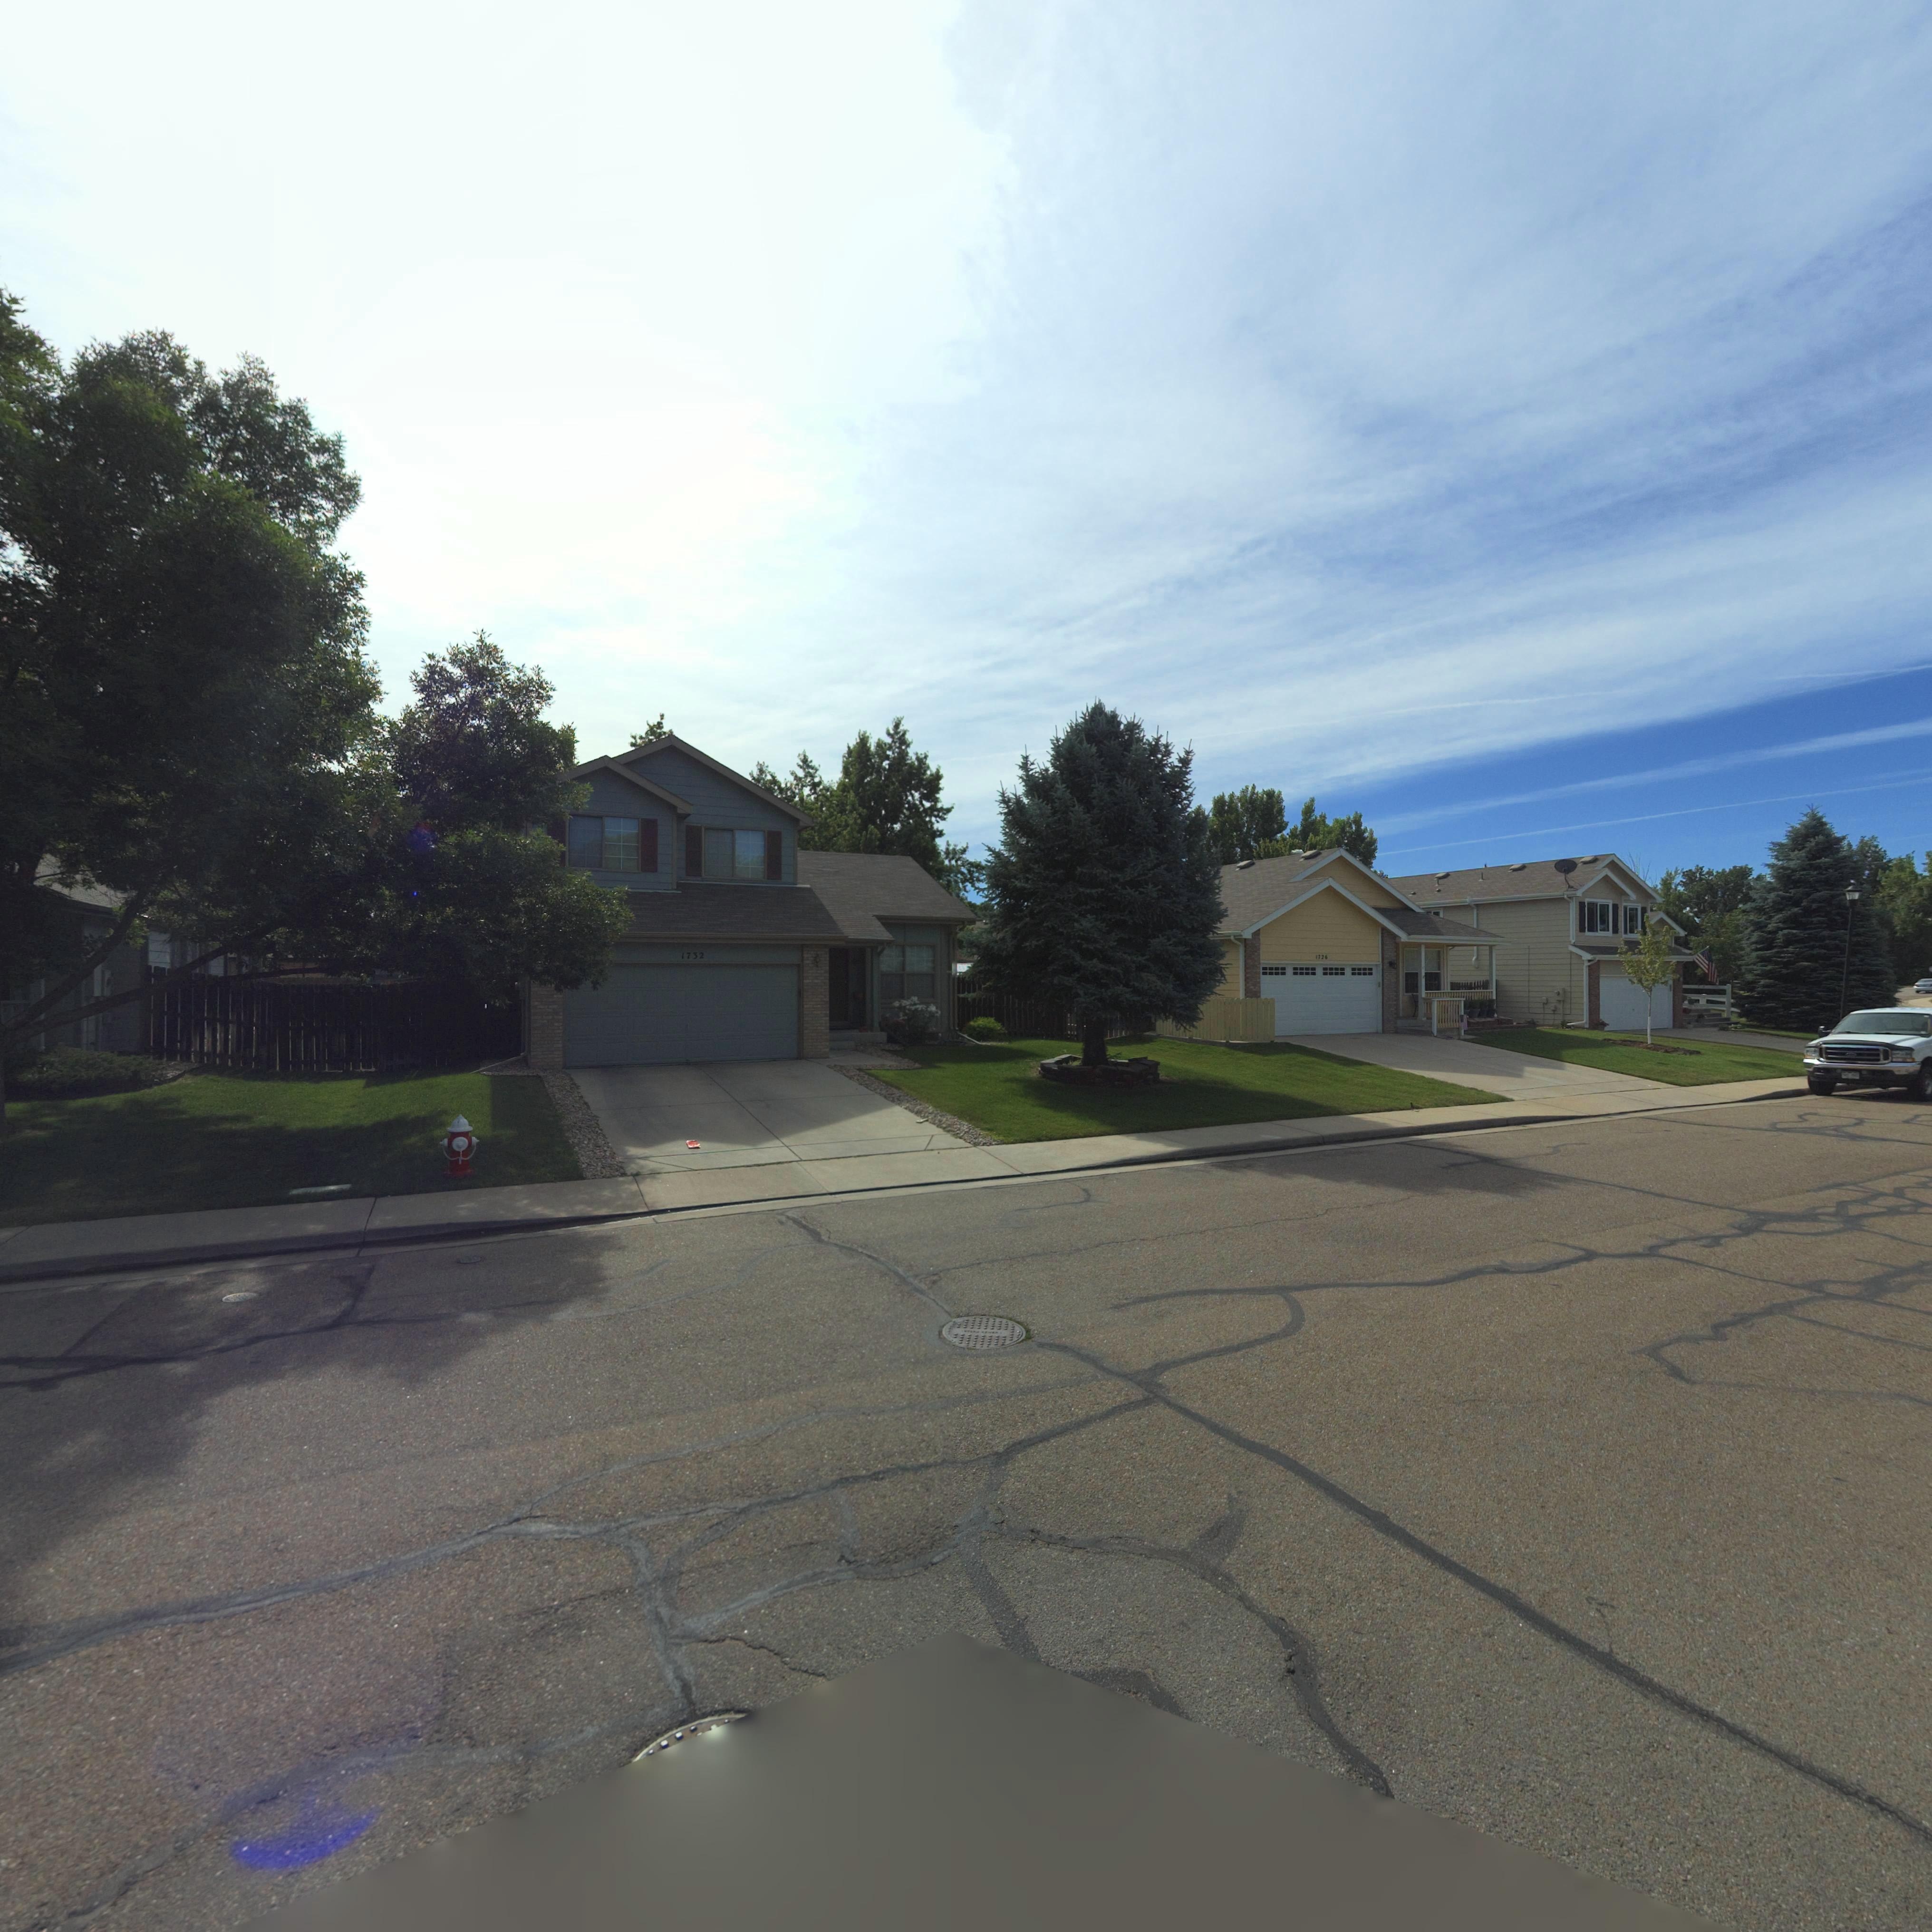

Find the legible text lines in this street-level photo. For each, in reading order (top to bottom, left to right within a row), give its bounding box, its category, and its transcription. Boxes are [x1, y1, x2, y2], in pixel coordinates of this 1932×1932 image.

[681, 952, 704, 959] StreetNumber: 1732
[1315, 954, 1327, 959] StreetNumber: 1726